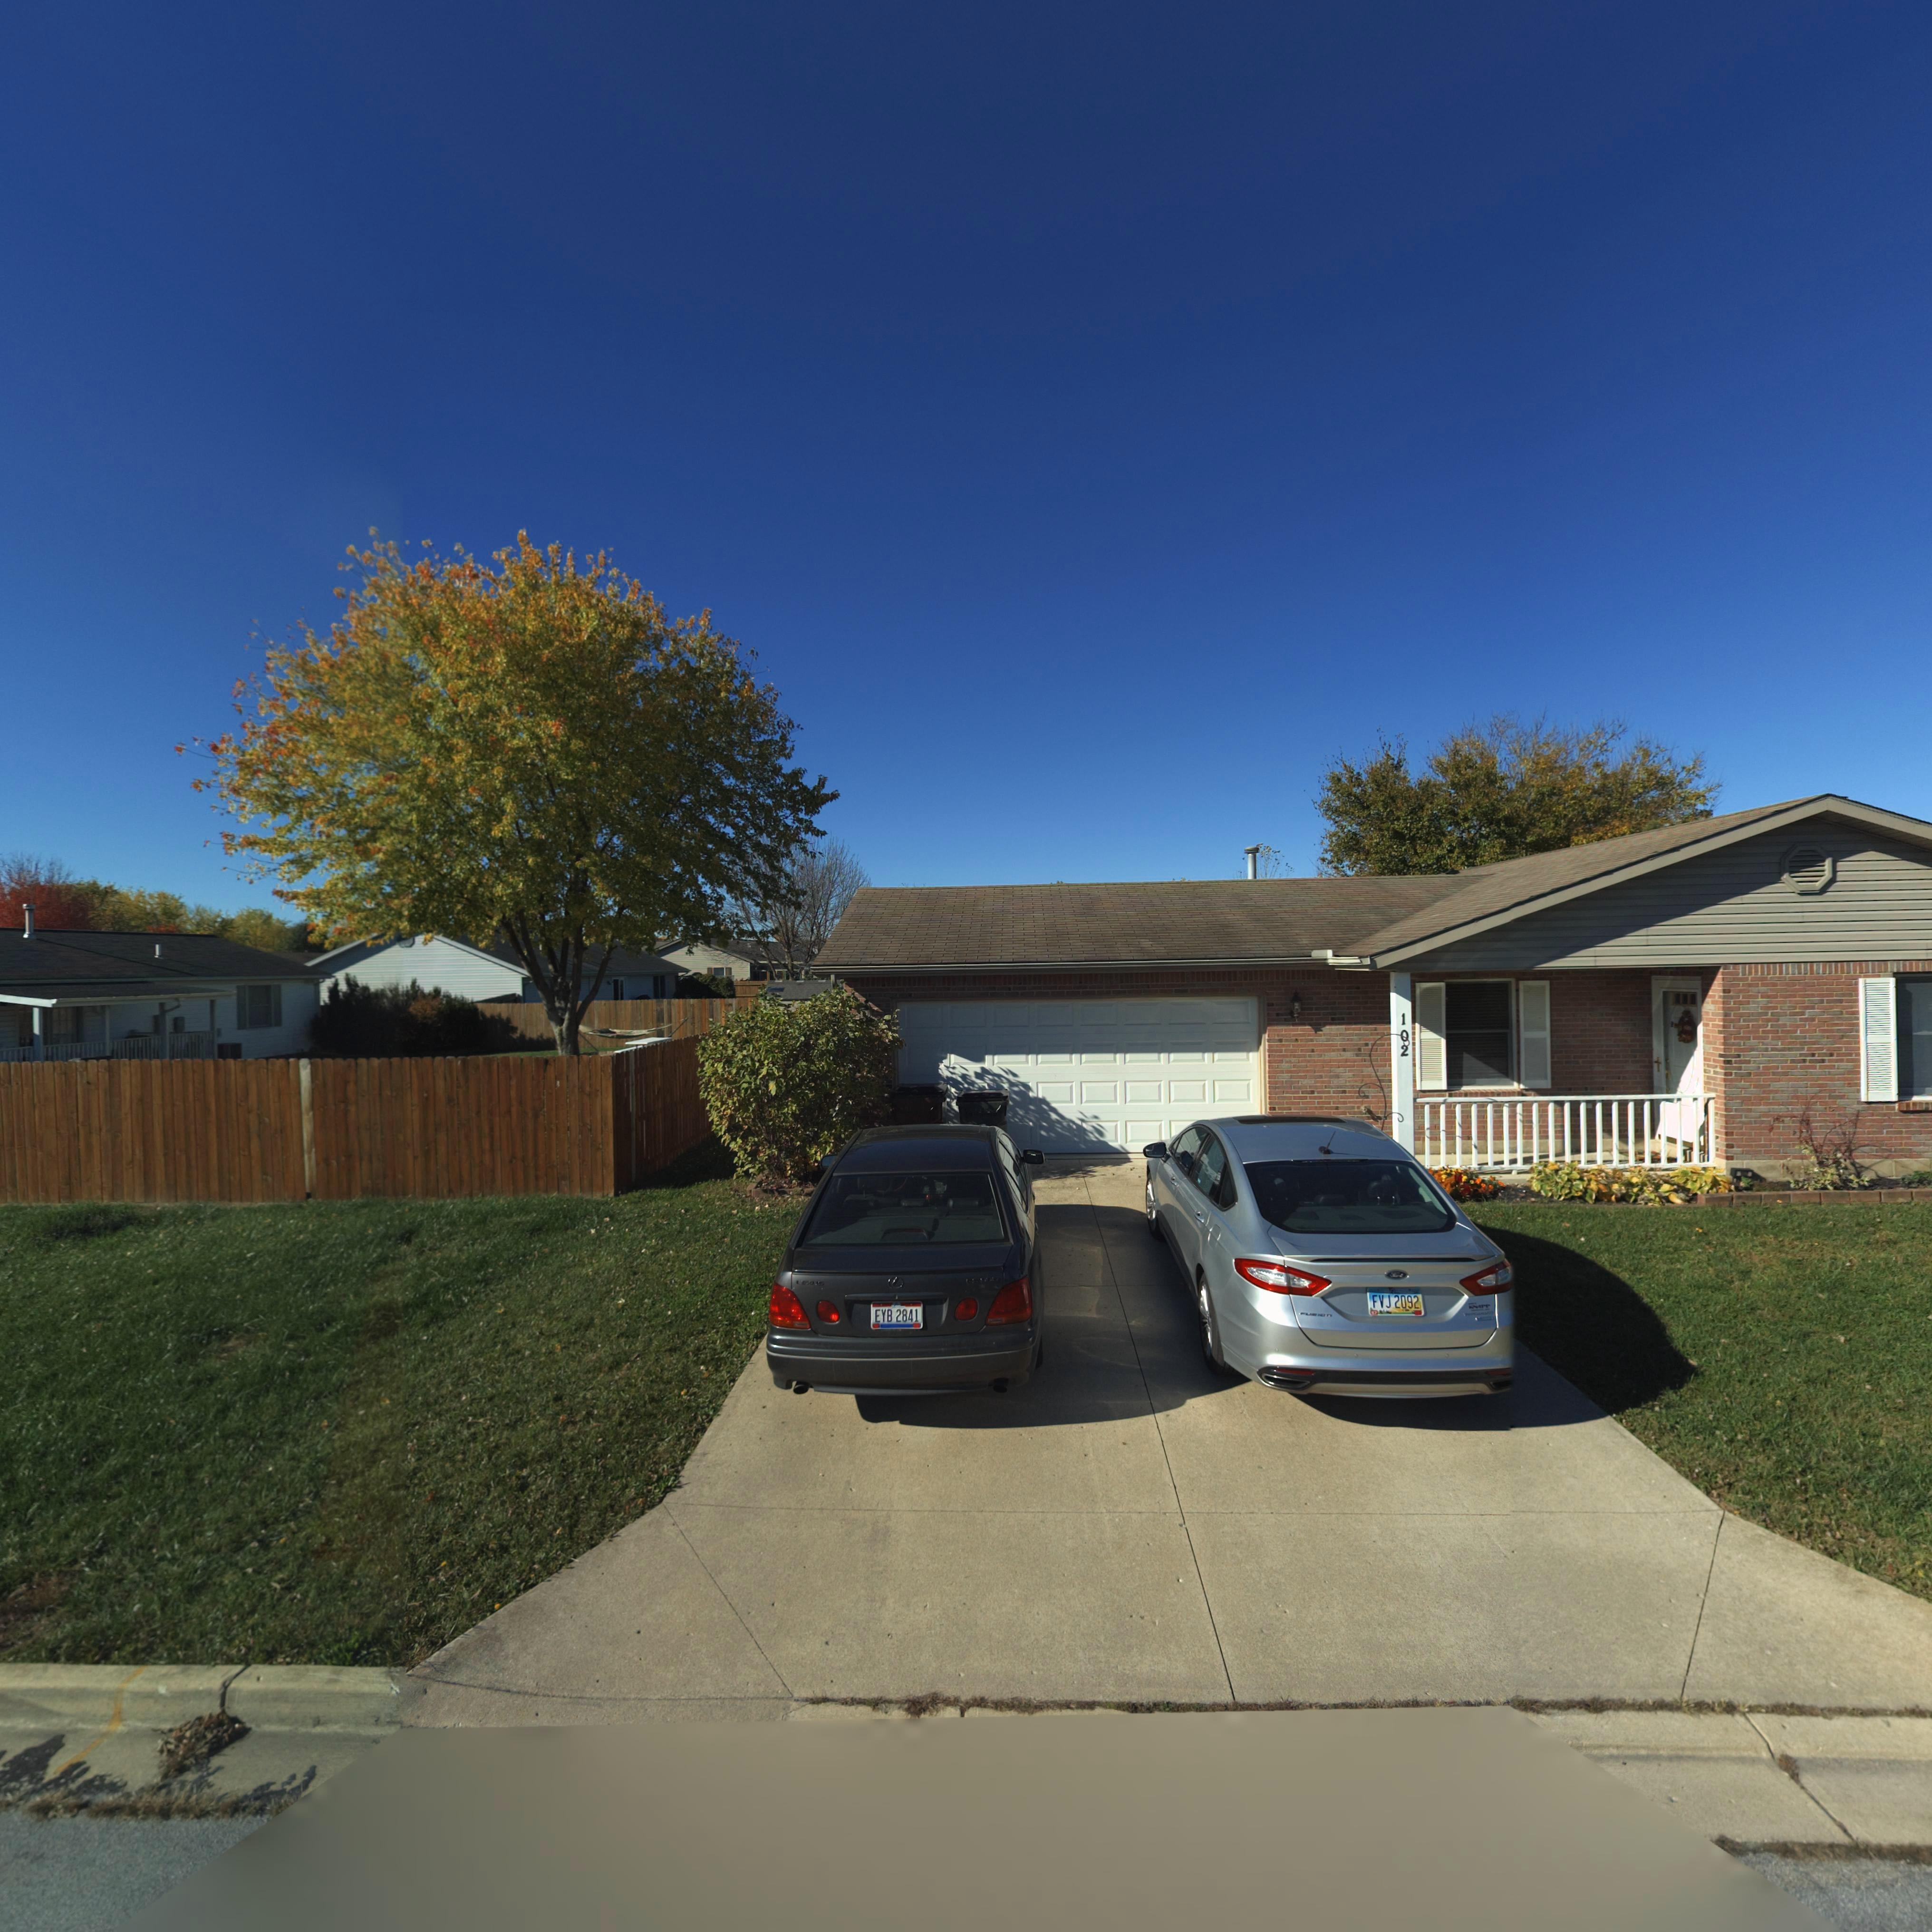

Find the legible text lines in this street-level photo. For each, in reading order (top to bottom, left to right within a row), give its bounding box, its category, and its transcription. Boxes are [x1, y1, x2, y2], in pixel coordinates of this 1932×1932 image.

[1398, 1011, 1410, 1057] StreetNumber: 102